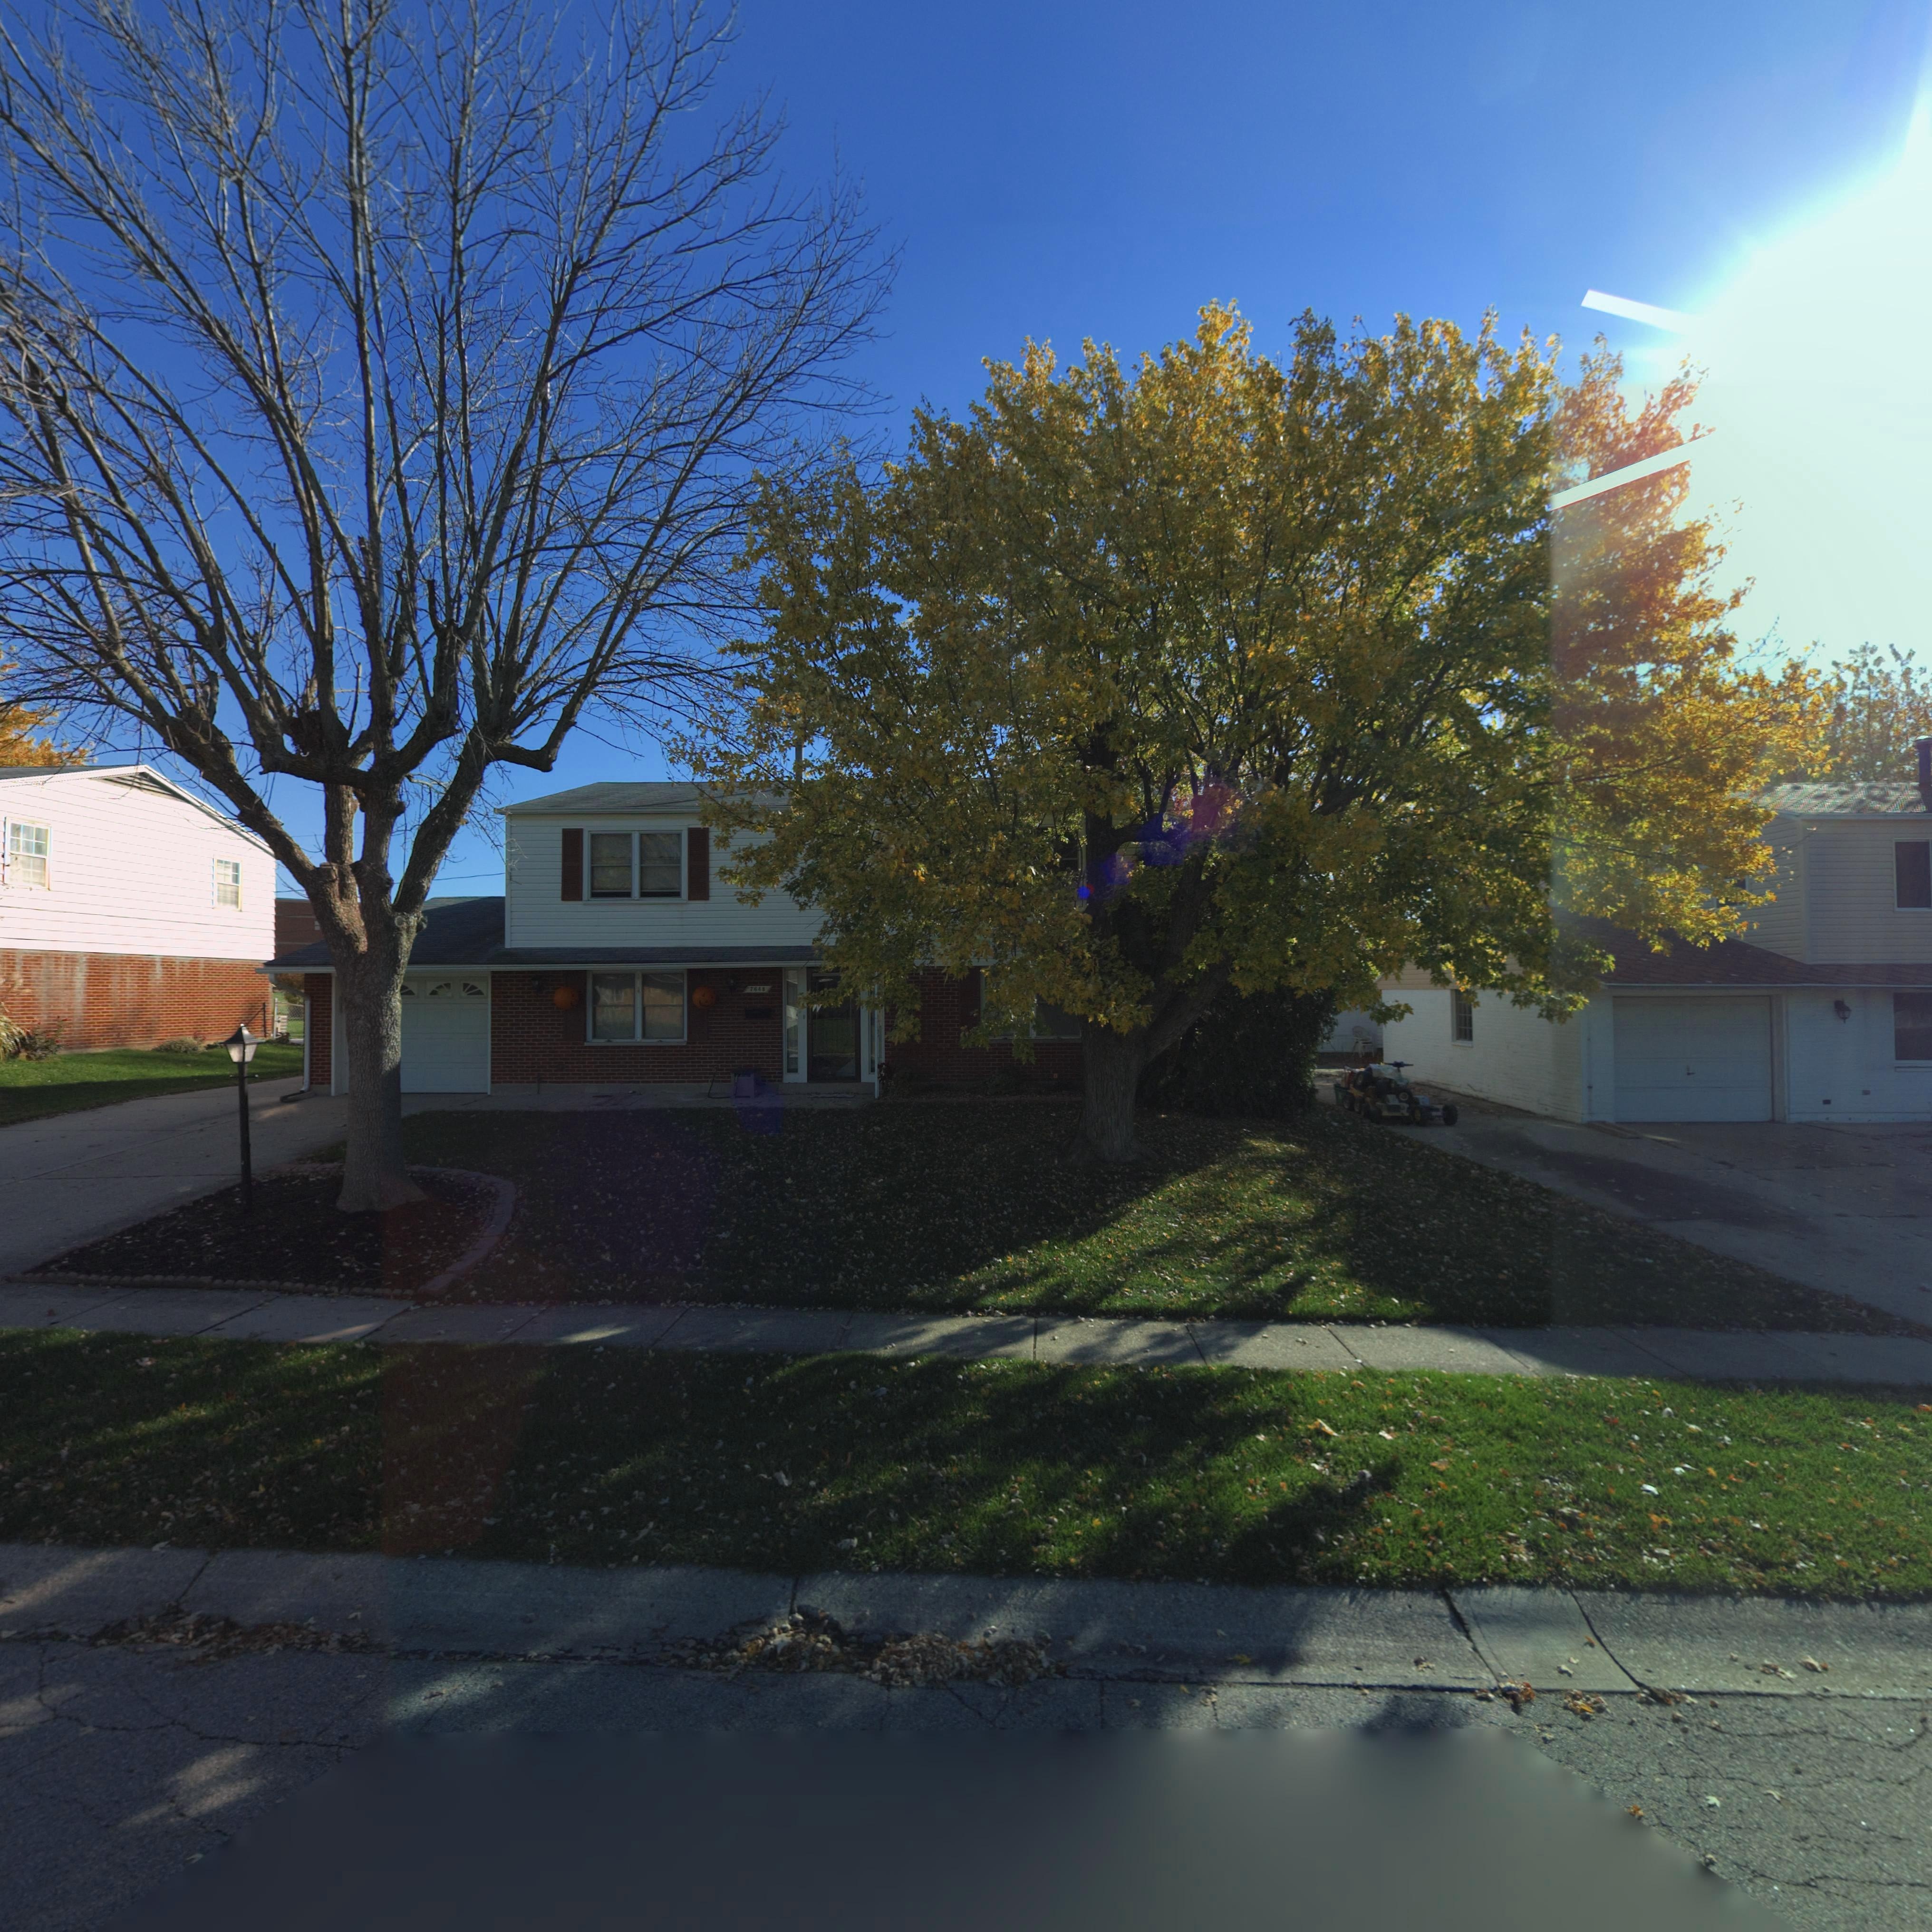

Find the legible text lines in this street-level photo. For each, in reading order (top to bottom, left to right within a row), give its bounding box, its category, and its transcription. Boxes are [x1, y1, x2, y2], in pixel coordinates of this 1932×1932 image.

[750, 986, 765, 992] StreetNumber: 7648